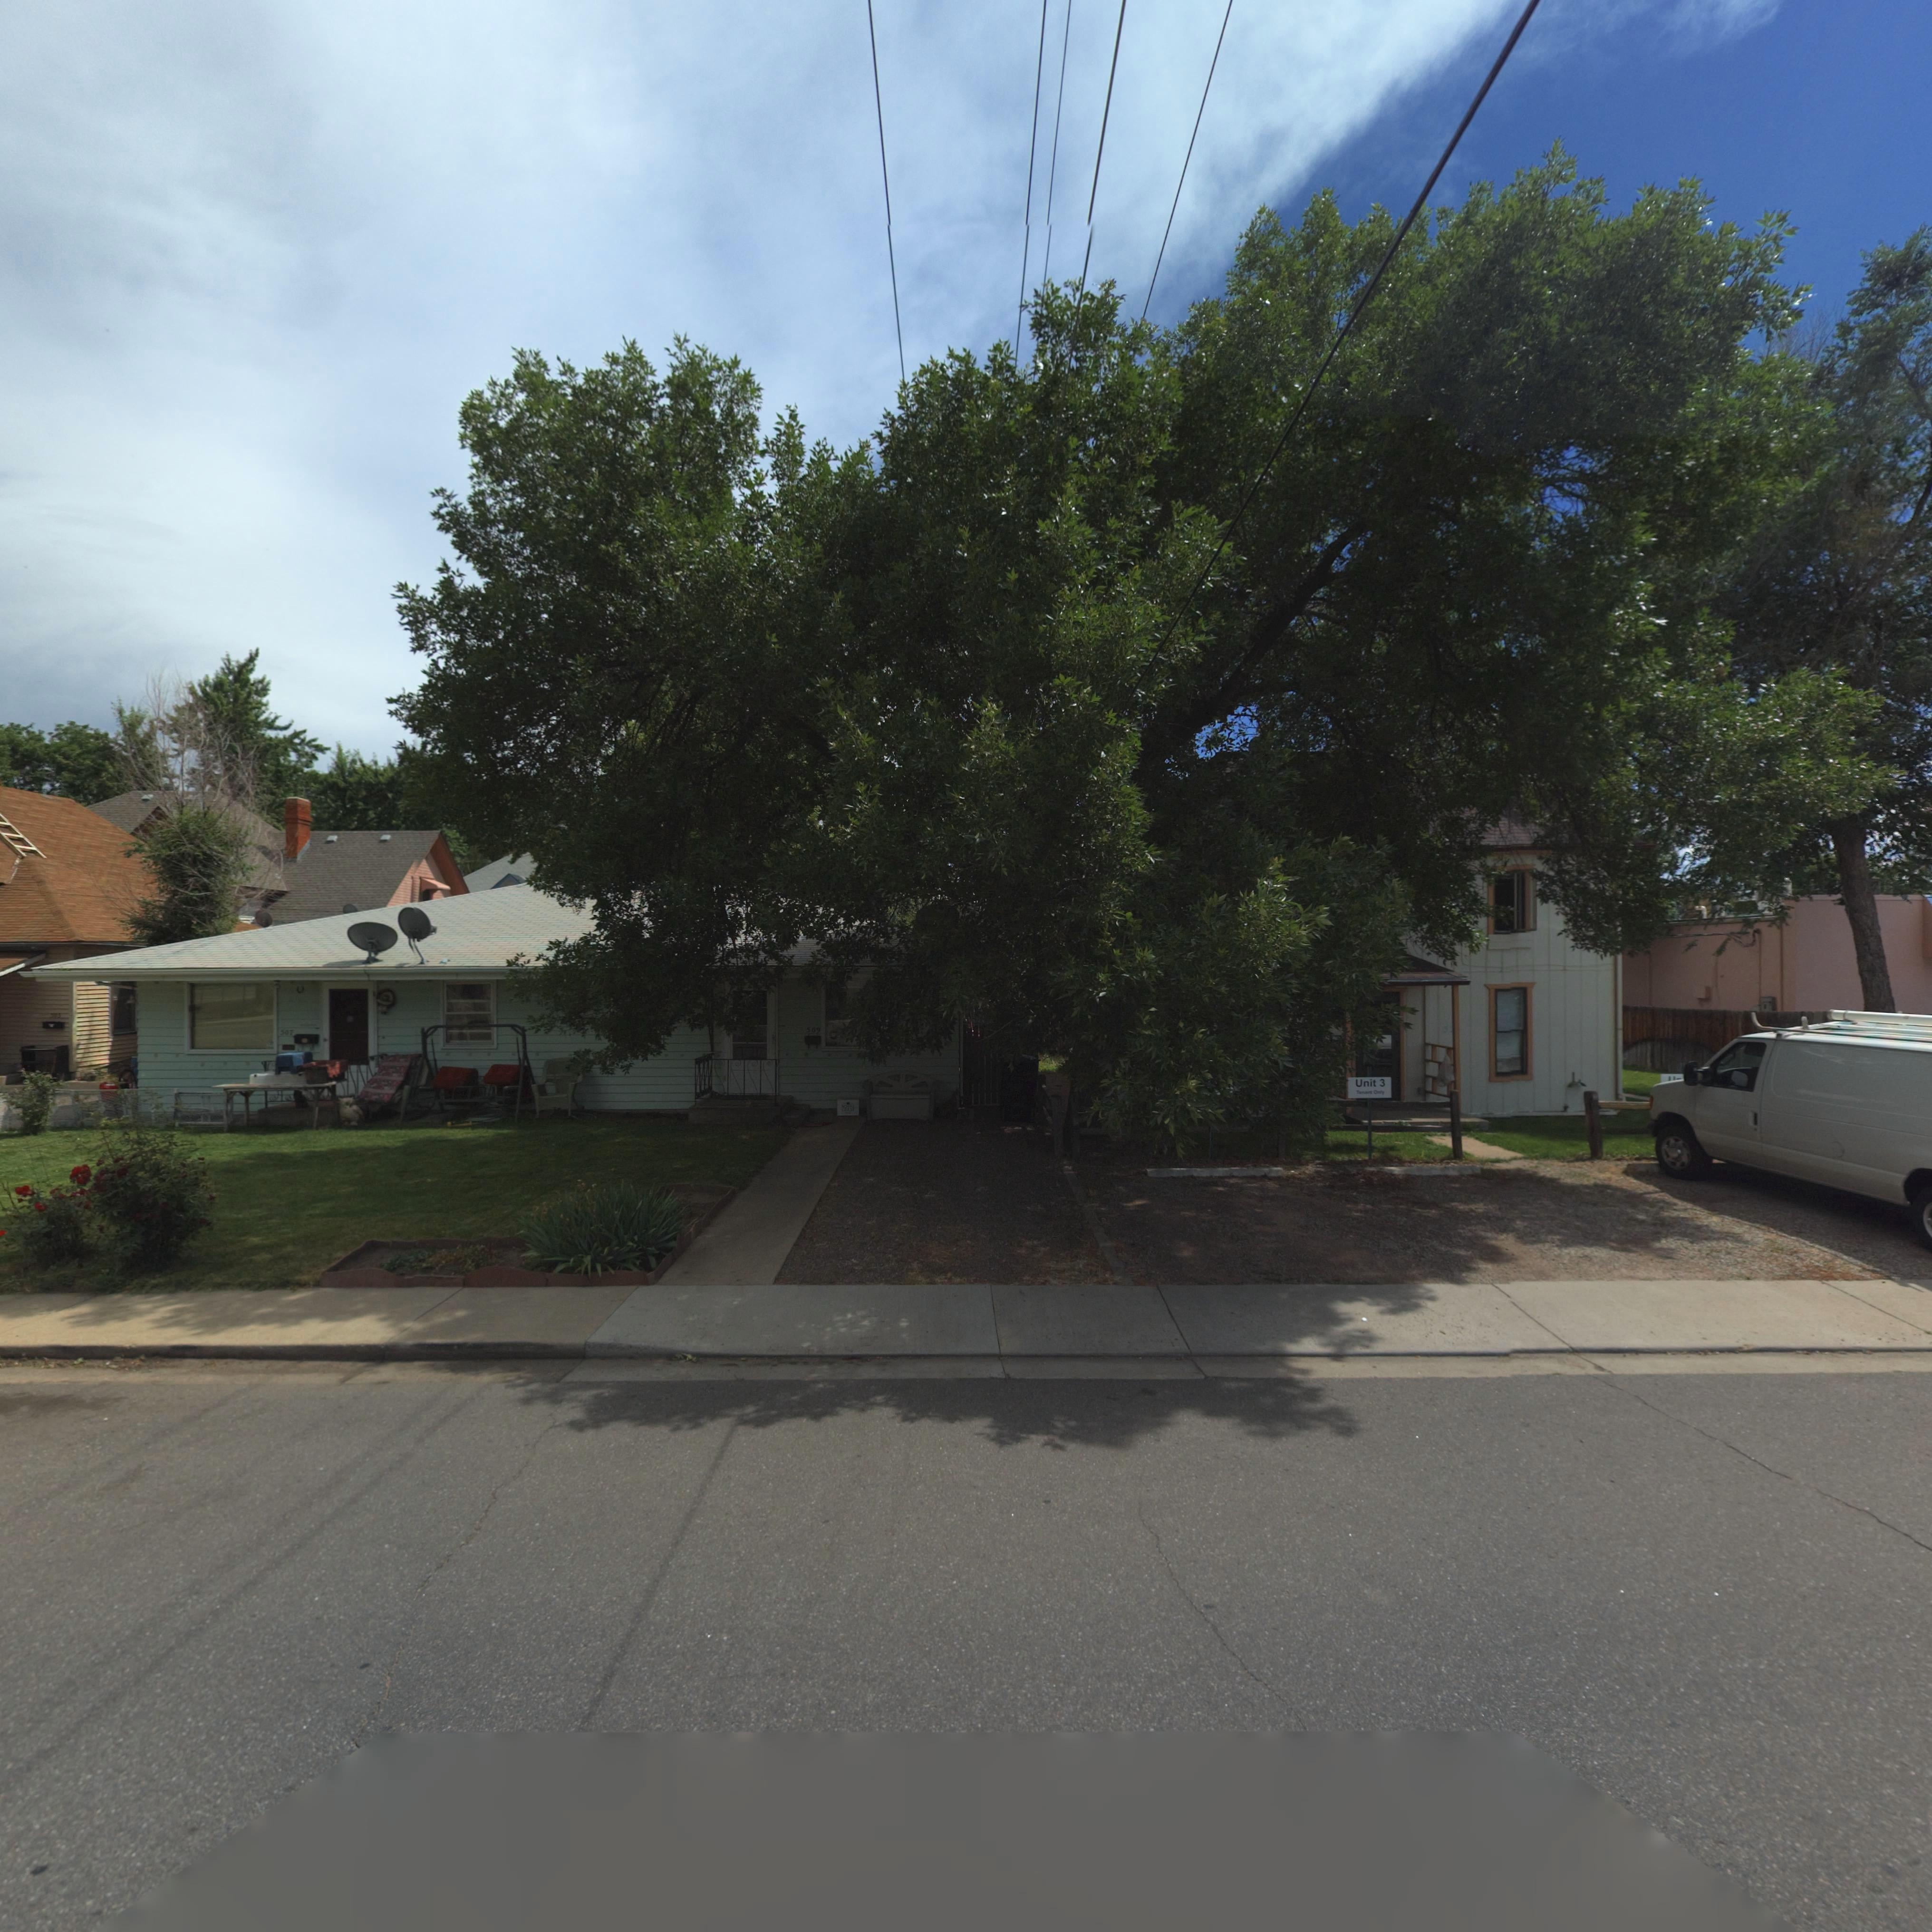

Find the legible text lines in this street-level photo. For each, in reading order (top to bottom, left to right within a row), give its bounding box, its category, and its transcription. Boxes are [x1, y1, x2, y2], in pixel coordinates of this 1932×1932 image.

[49, 1012, 62, 1018] SecondaryUnitDesignator: 50*
[280, 1028, 294, 1035] StreetNumber: 507
[805, 1026, 820, 1033] StreetNumber: 509
[1355, 1078, 1385, 1087] SecondaryUnitDesignator: Unit 3